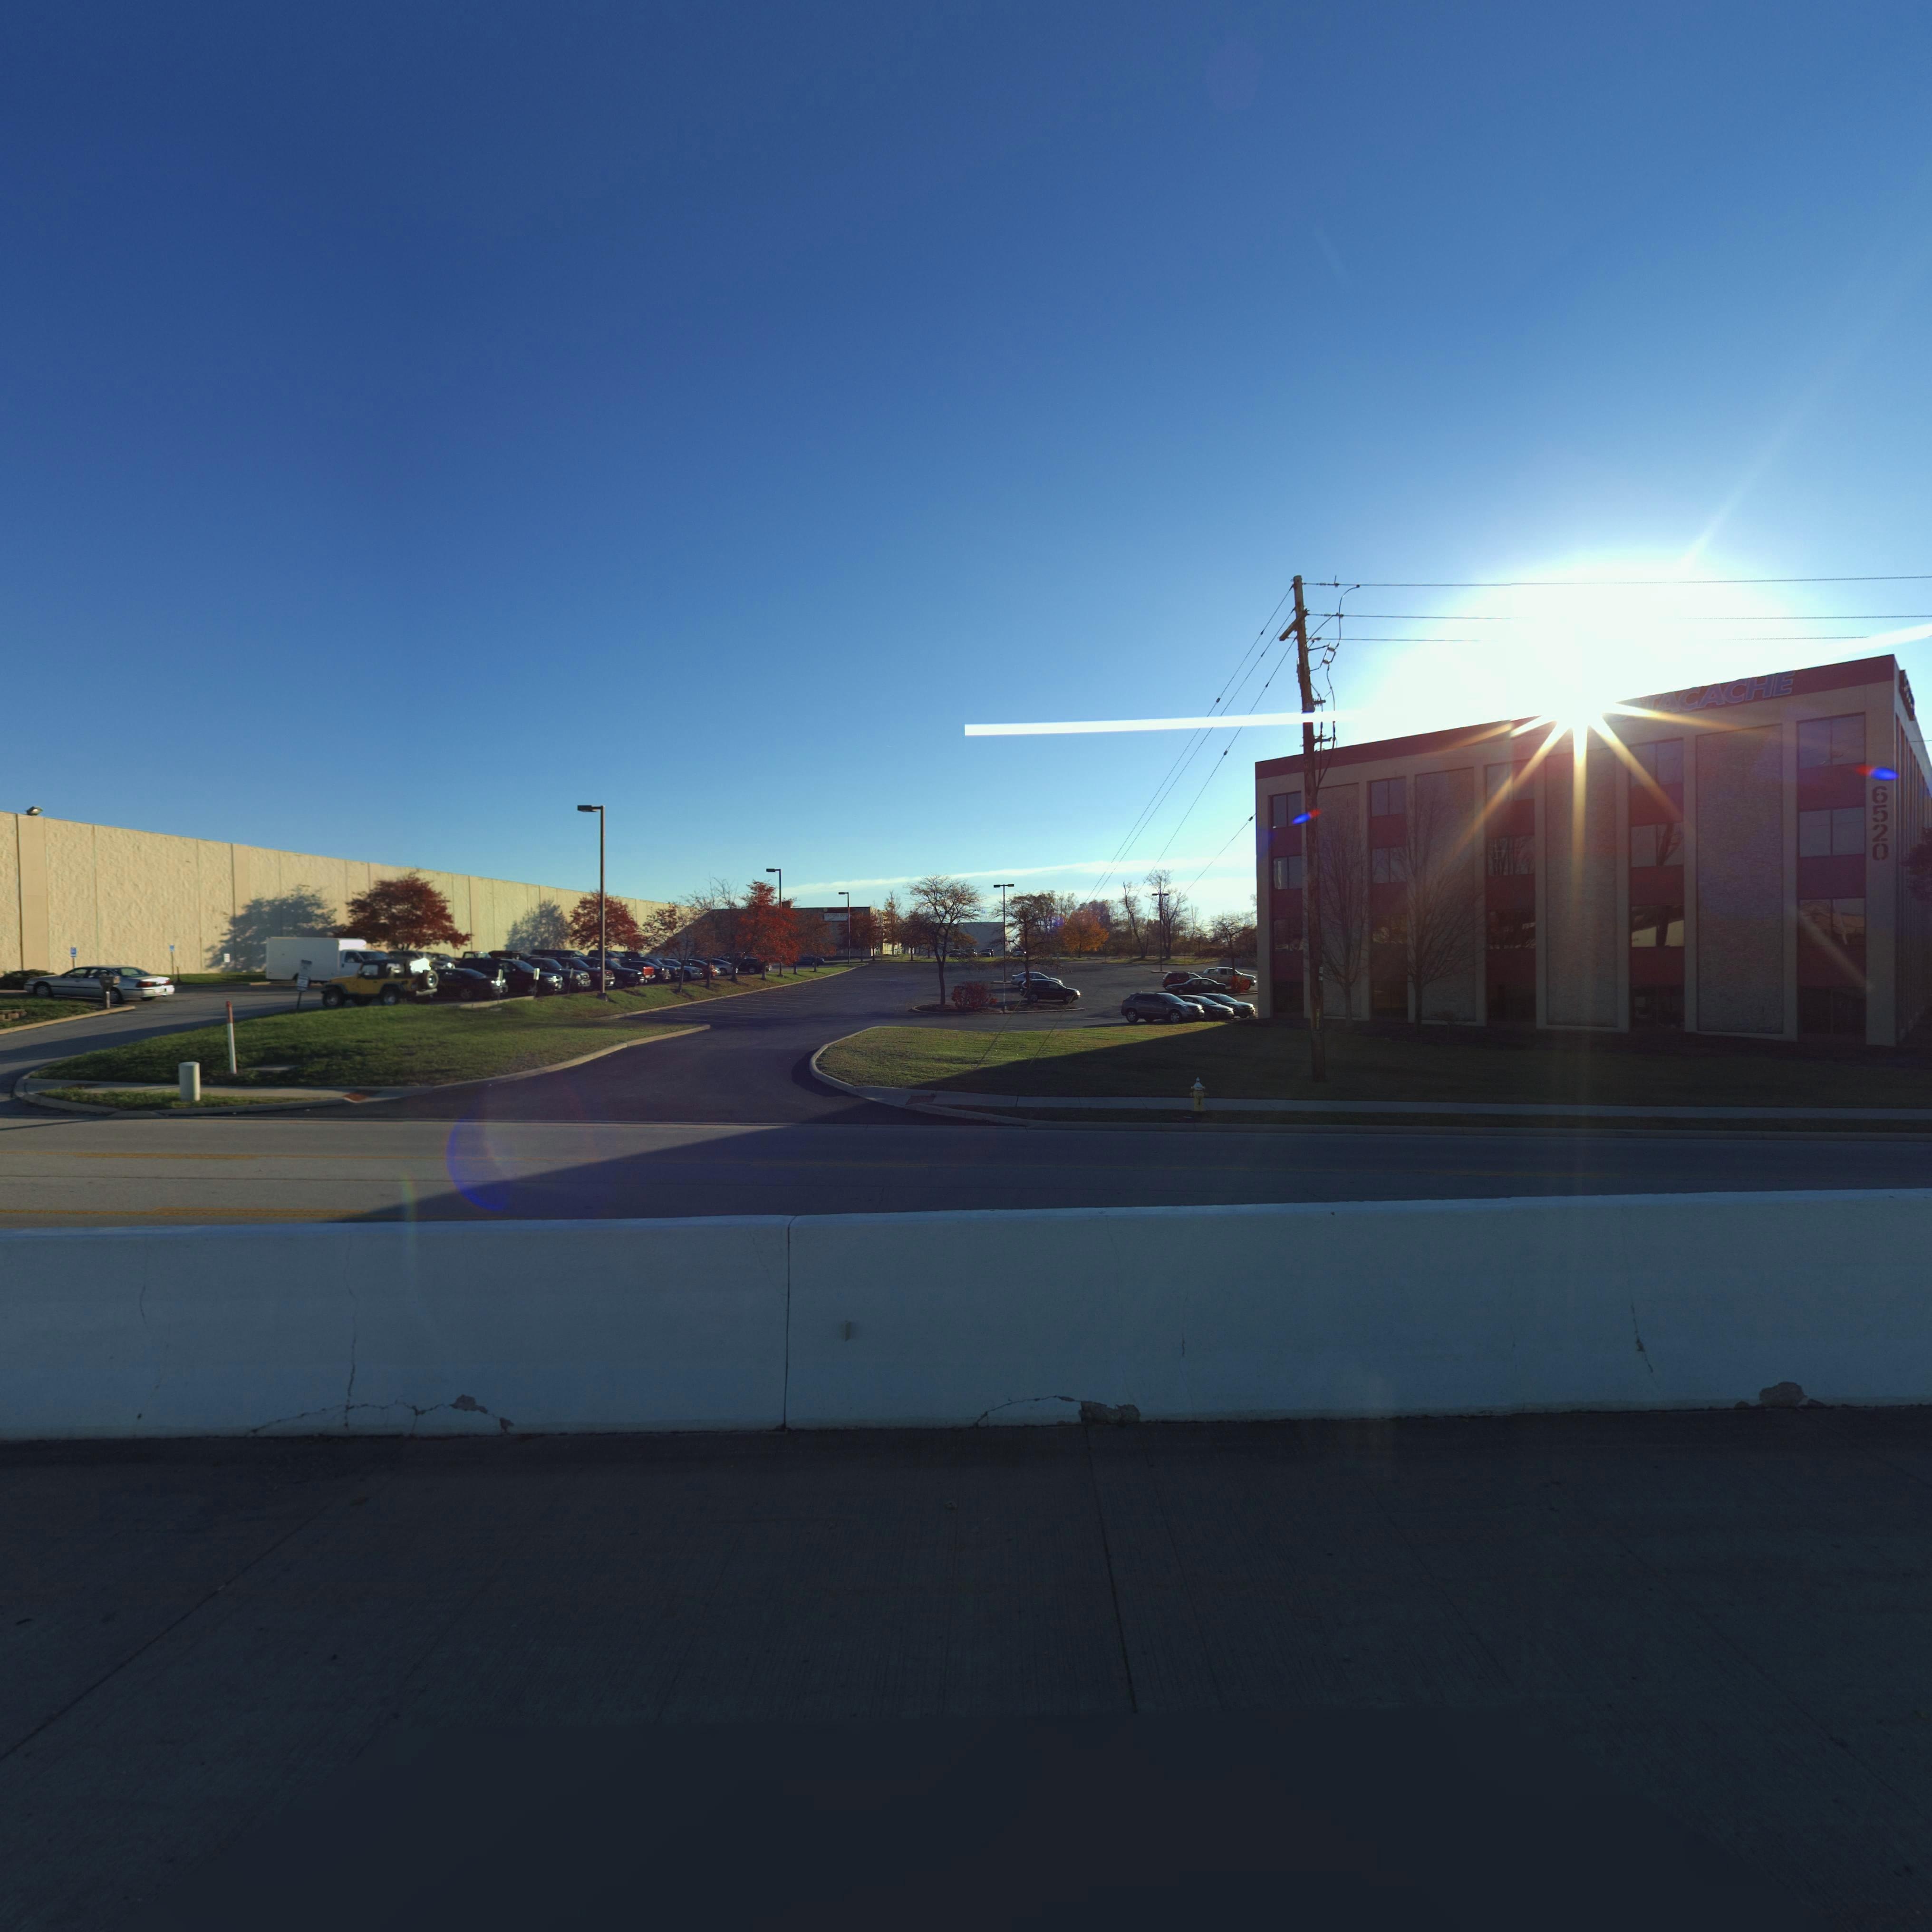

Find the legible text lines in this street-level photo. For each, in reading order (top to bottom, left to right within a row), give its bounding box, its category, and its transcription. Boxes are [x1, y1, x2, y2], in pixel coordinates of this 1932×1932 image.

[1650, 669, 1799, 718] None: ACACHE
[1869, 782, 1891, 864] StreetNumber: 6520